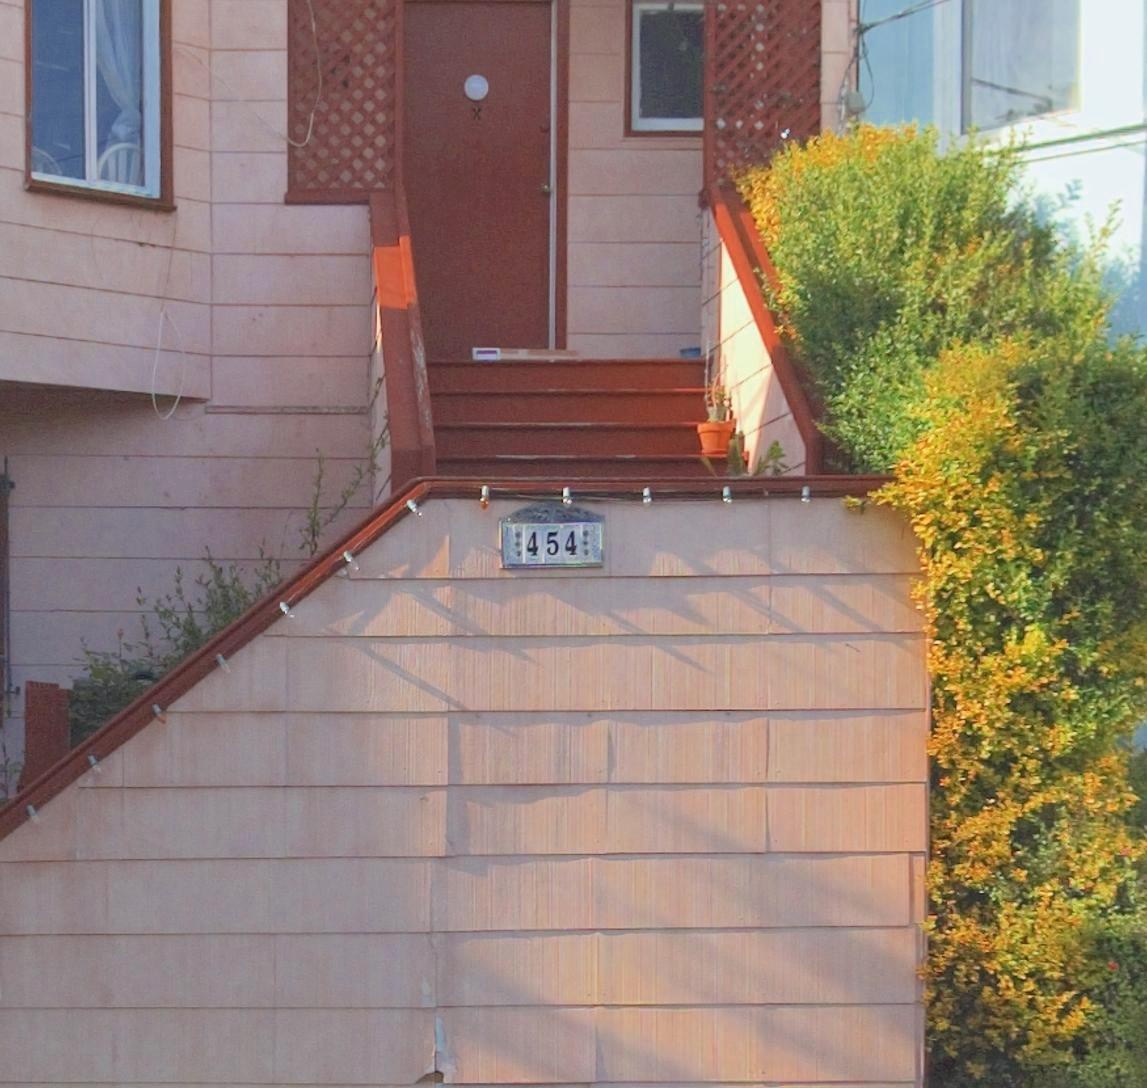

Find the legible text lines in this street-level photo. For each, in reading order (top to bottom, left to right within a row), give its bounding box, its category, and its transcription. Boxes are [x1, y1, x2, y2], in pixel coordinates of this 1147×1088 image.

[471, 107, 483, 122] None: X
[524, 530, 579, 557] StreetNumber: 454